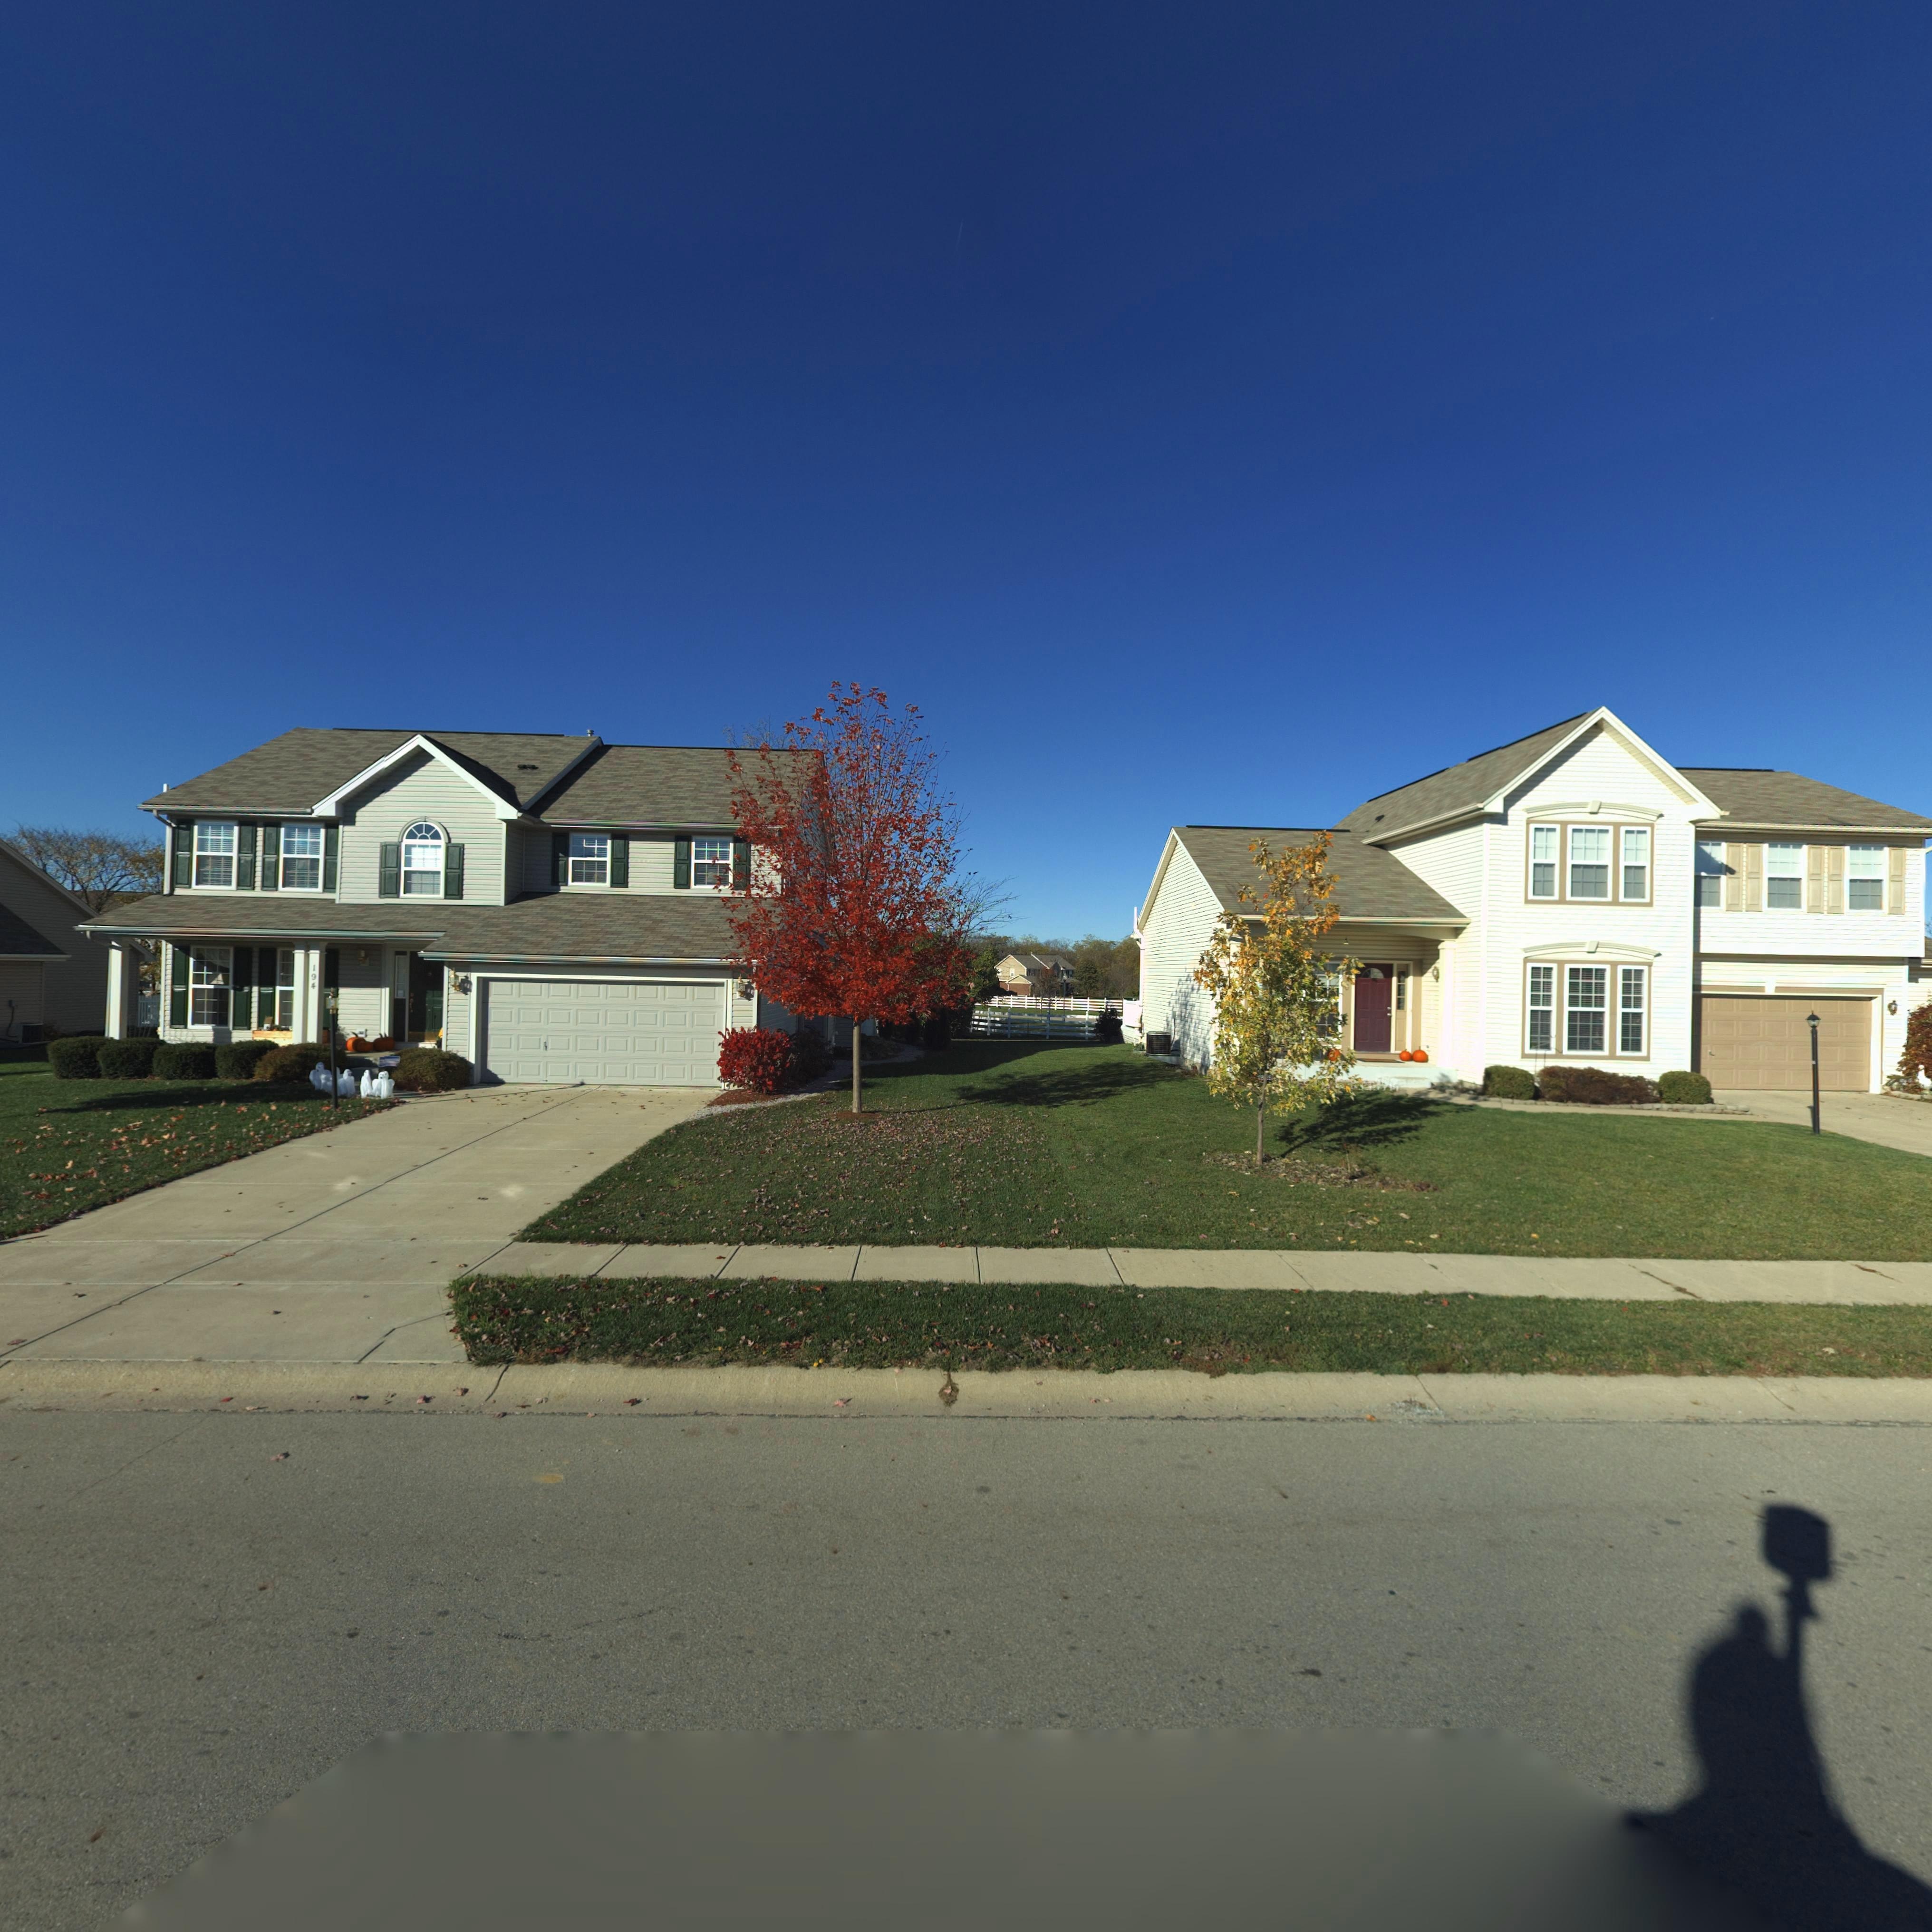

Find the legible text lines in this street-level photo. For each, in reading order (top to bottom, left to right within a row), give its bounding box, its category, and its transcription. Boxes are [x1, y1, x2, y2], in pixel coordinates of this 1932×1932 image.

[309, 963, 317, 991] StreetNumber: 194